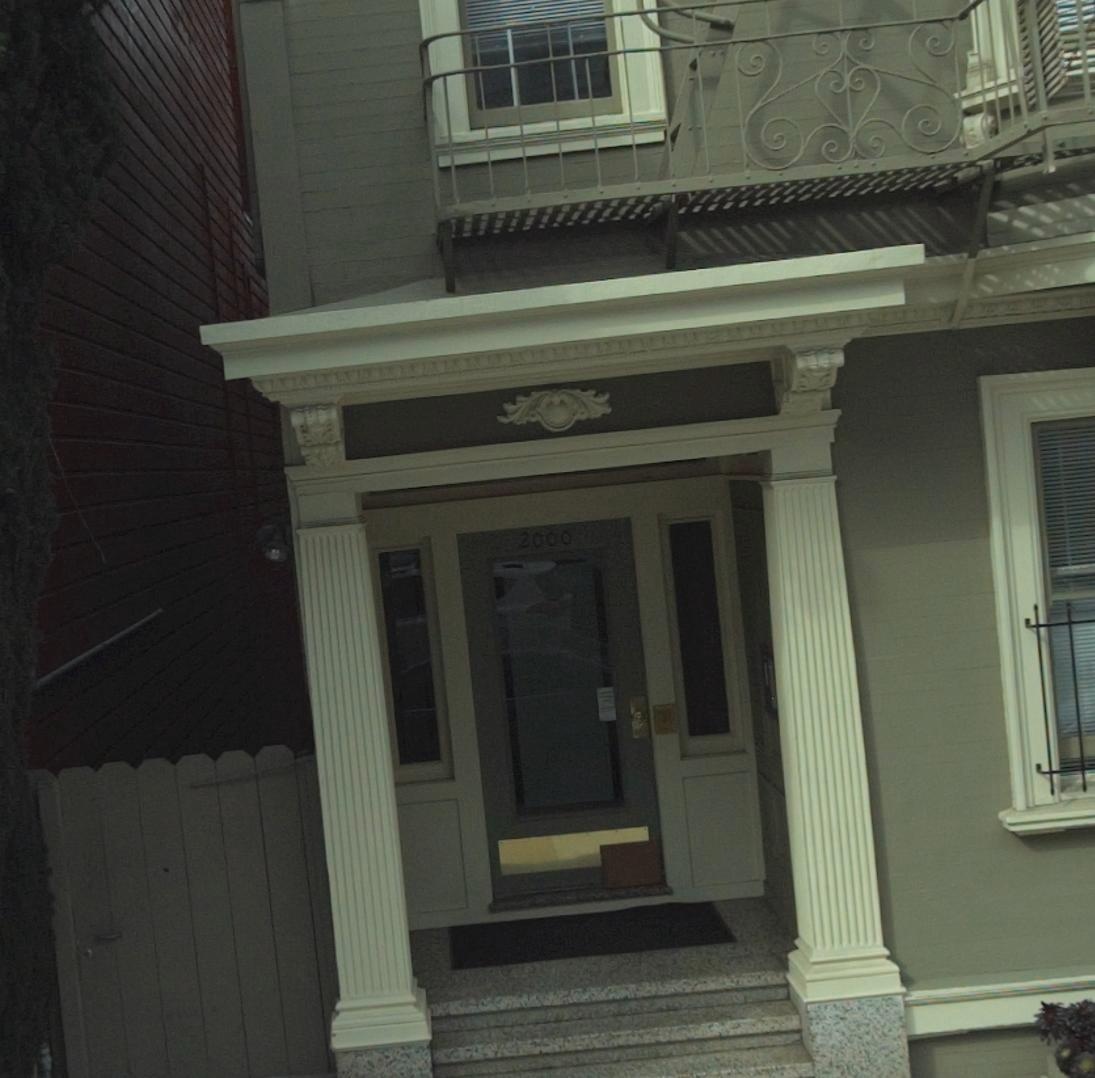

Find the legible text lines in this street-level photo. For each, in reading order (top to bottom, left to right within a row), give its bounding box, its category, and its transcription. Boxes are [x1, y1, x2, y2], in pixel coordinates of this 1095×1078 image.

[515, 527, 575, 553] StreetNumber: 2000